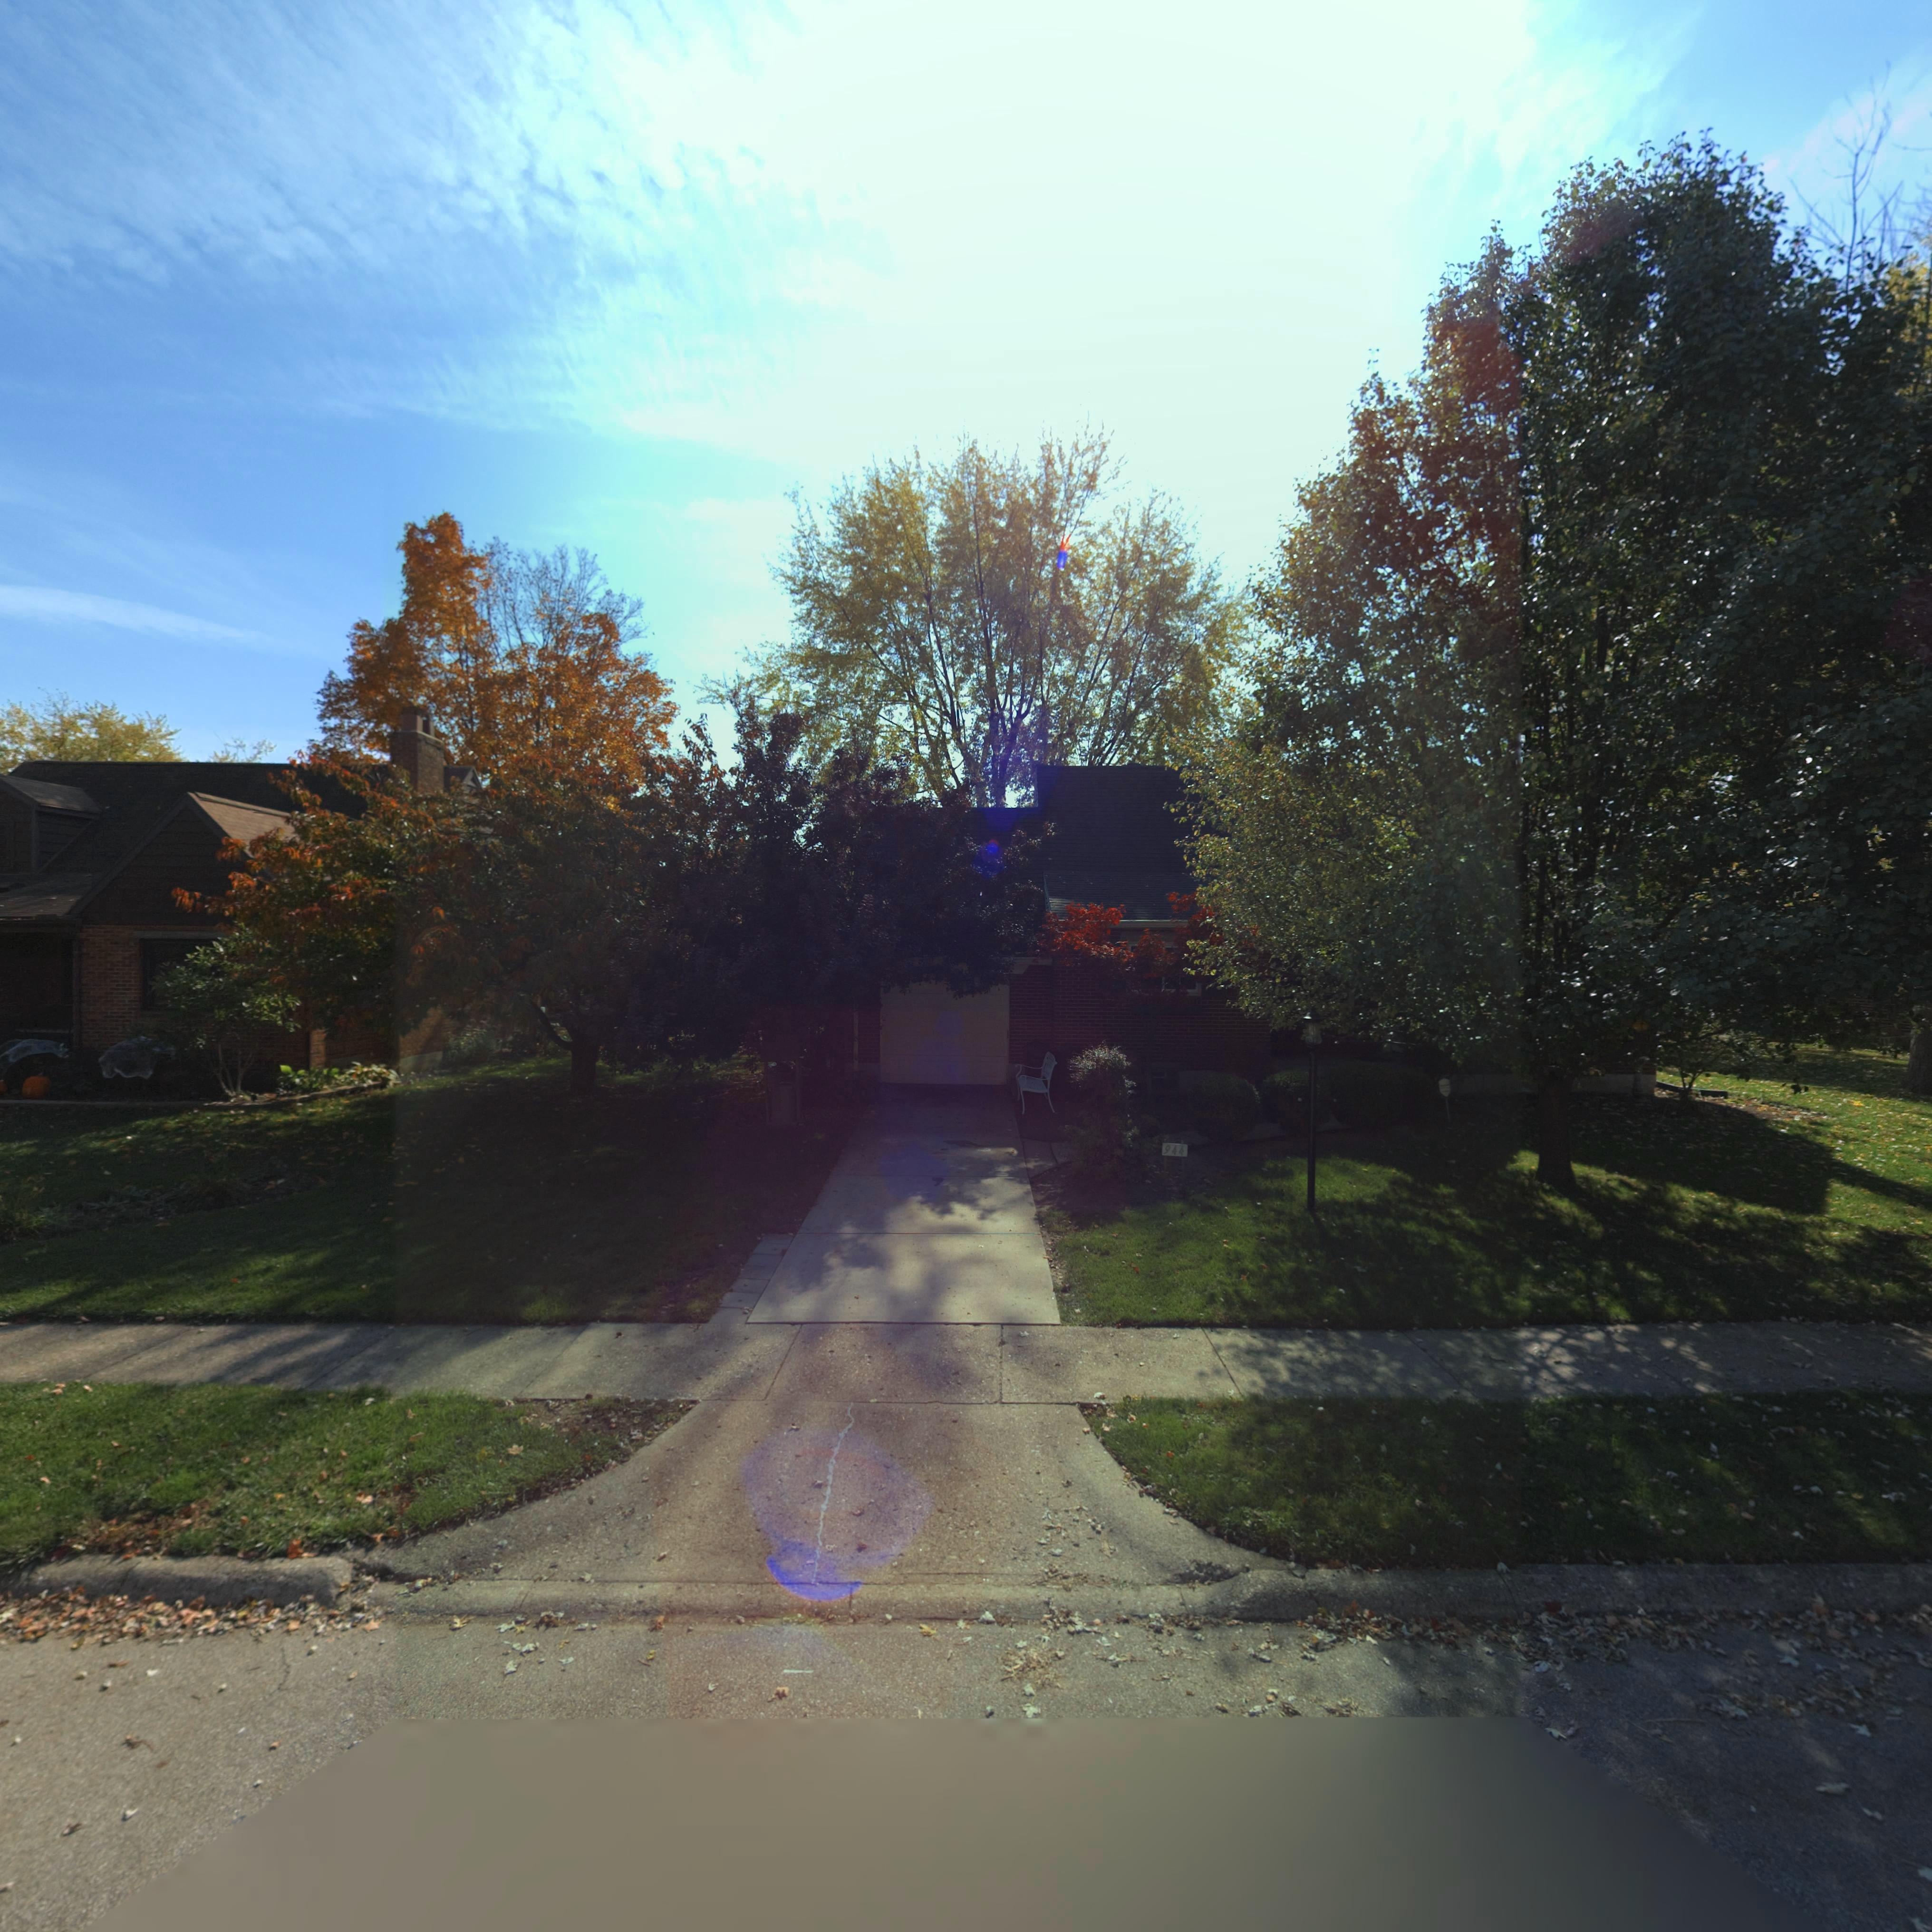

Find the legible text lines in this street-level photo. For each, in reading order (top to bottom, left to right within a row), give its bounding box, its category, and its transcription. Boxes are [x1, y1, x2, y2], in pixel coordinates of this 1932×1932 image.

[1162, 1143, 1186, 1157] StreetNumber: 944